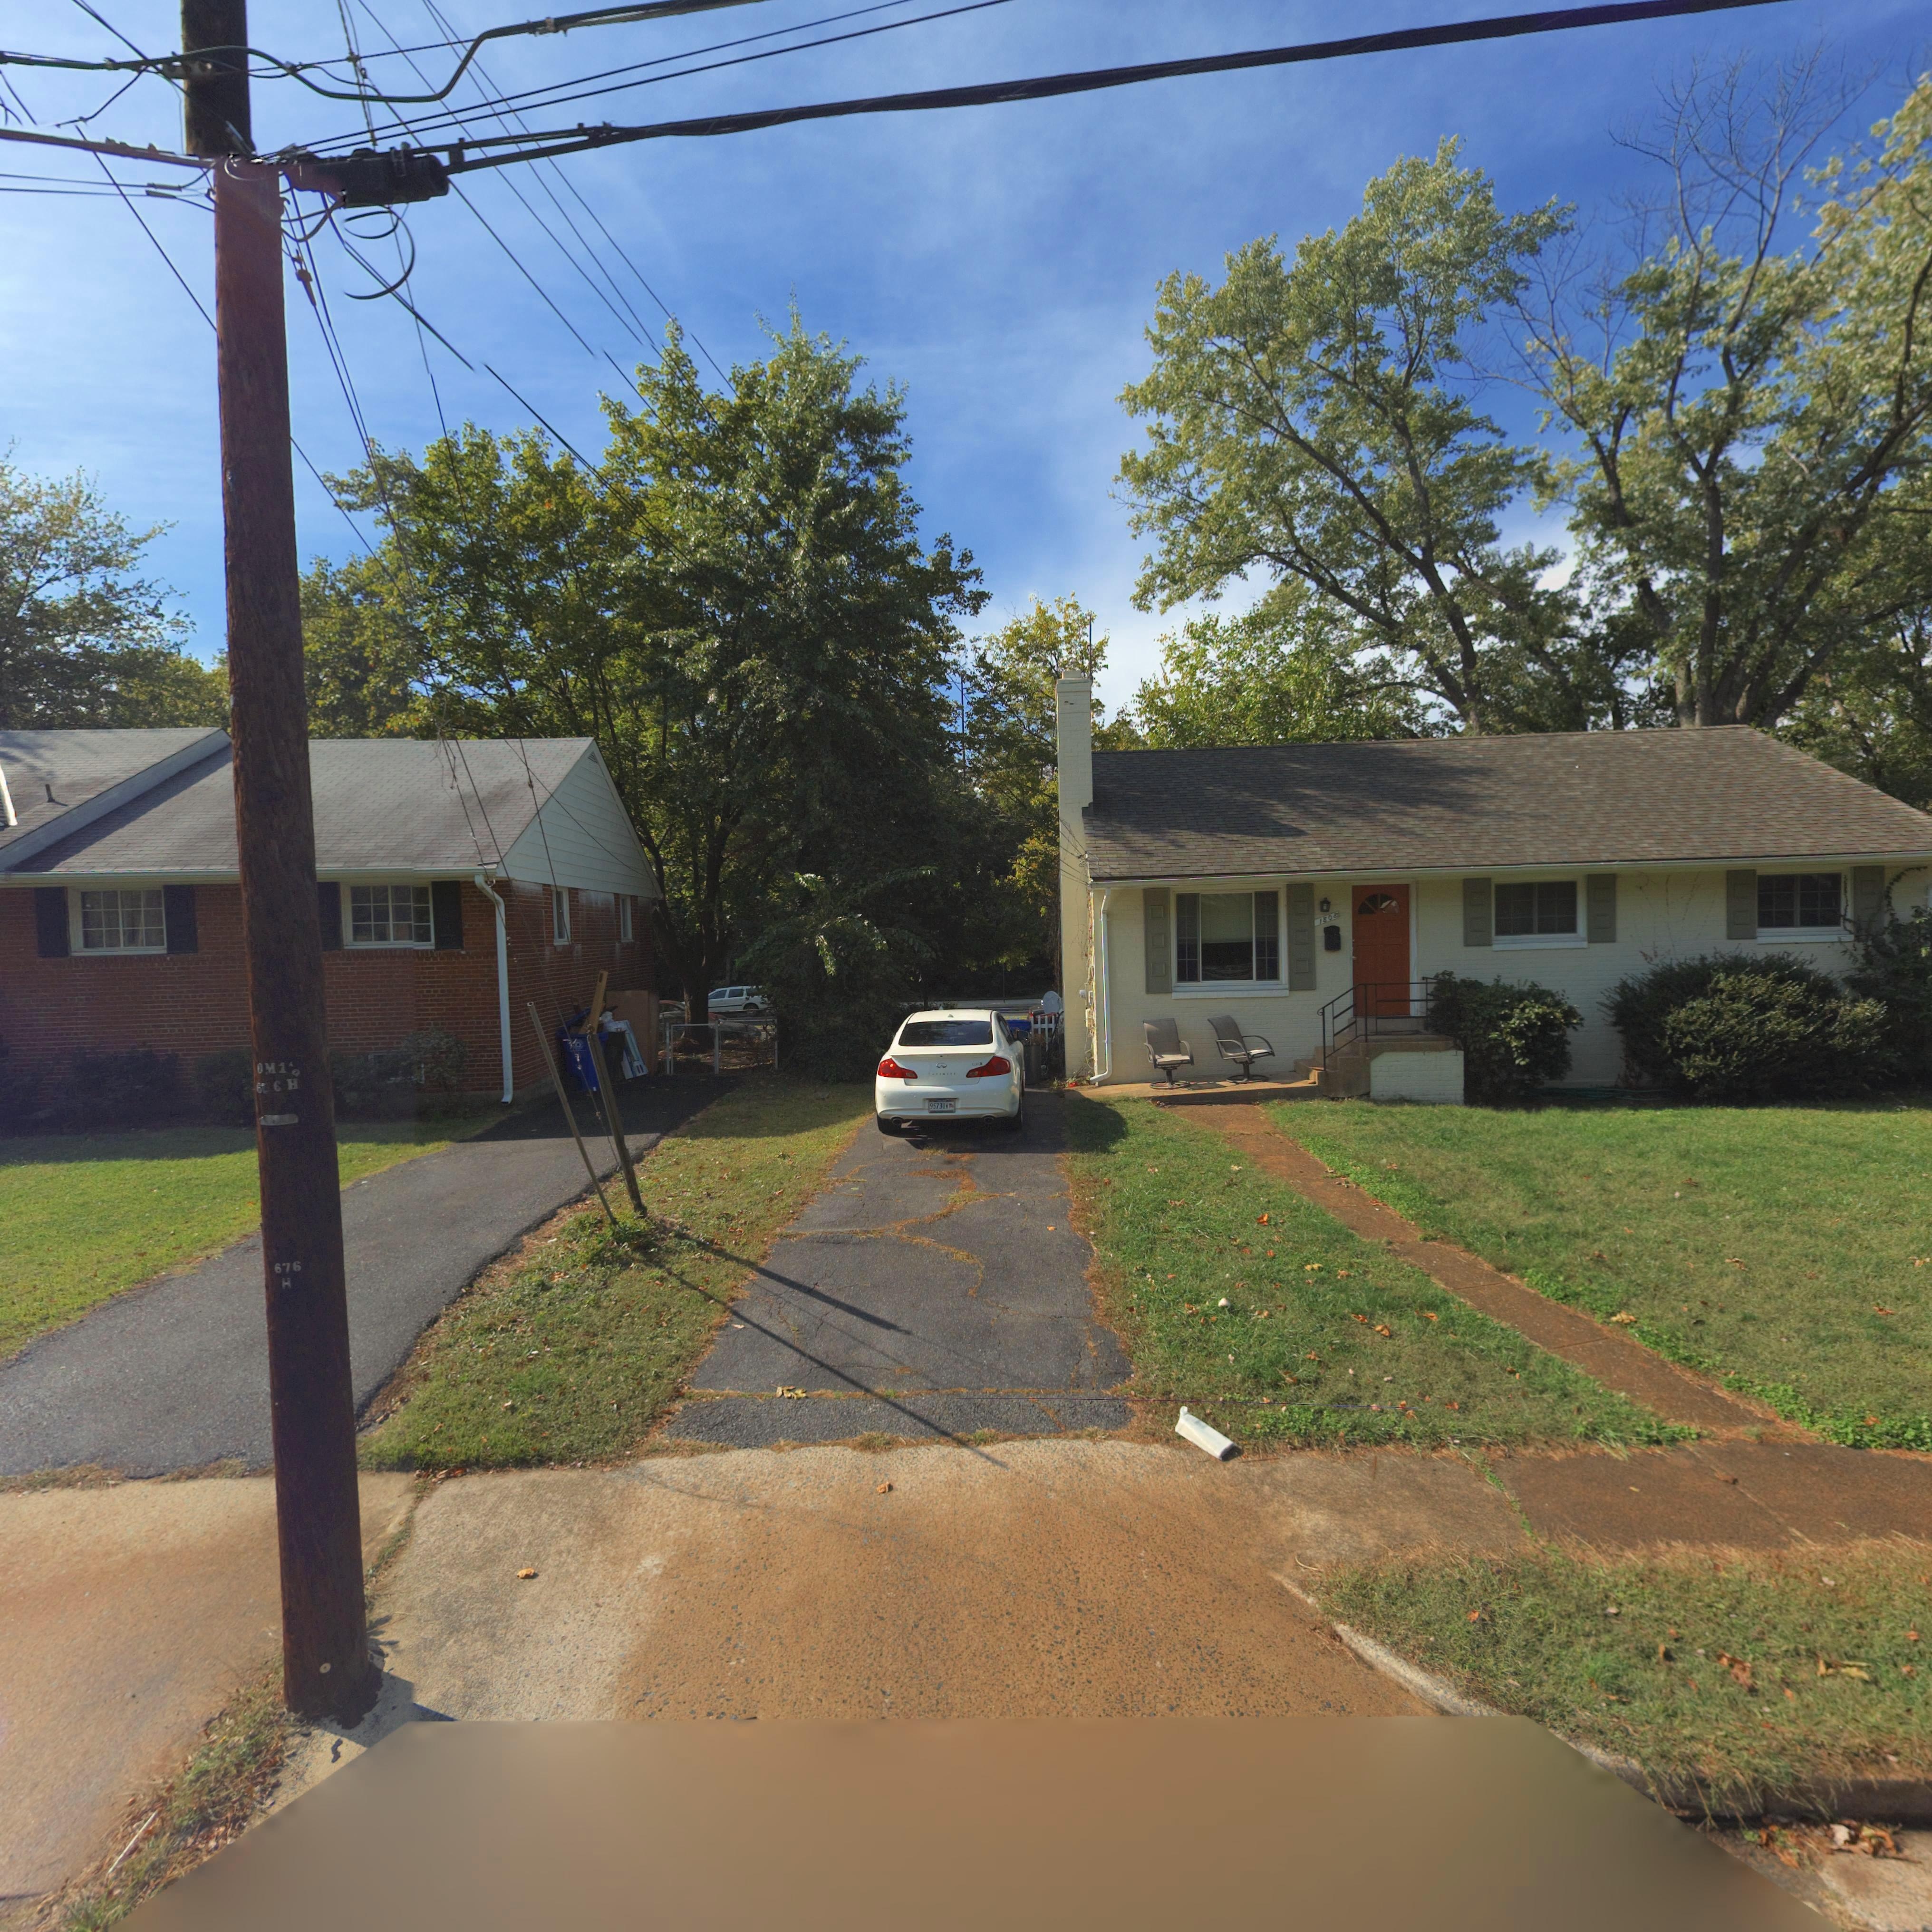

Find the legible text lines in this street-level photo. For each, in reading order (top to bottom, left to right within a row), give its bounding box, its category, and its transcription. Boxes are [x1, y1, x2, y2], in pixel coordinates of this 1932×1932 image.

[1318, 911, 1339, 926] StreetNumber: 180*
[255, 1060, 290, 1076] None: OM1
[255, 1076, 300, 1096] None: 6*6H
[929, 1101, 949, 1110] None: 9573U*
[273, 1258, 304, 1276] None: 676
[280, 1276, 293, 1292] None: H